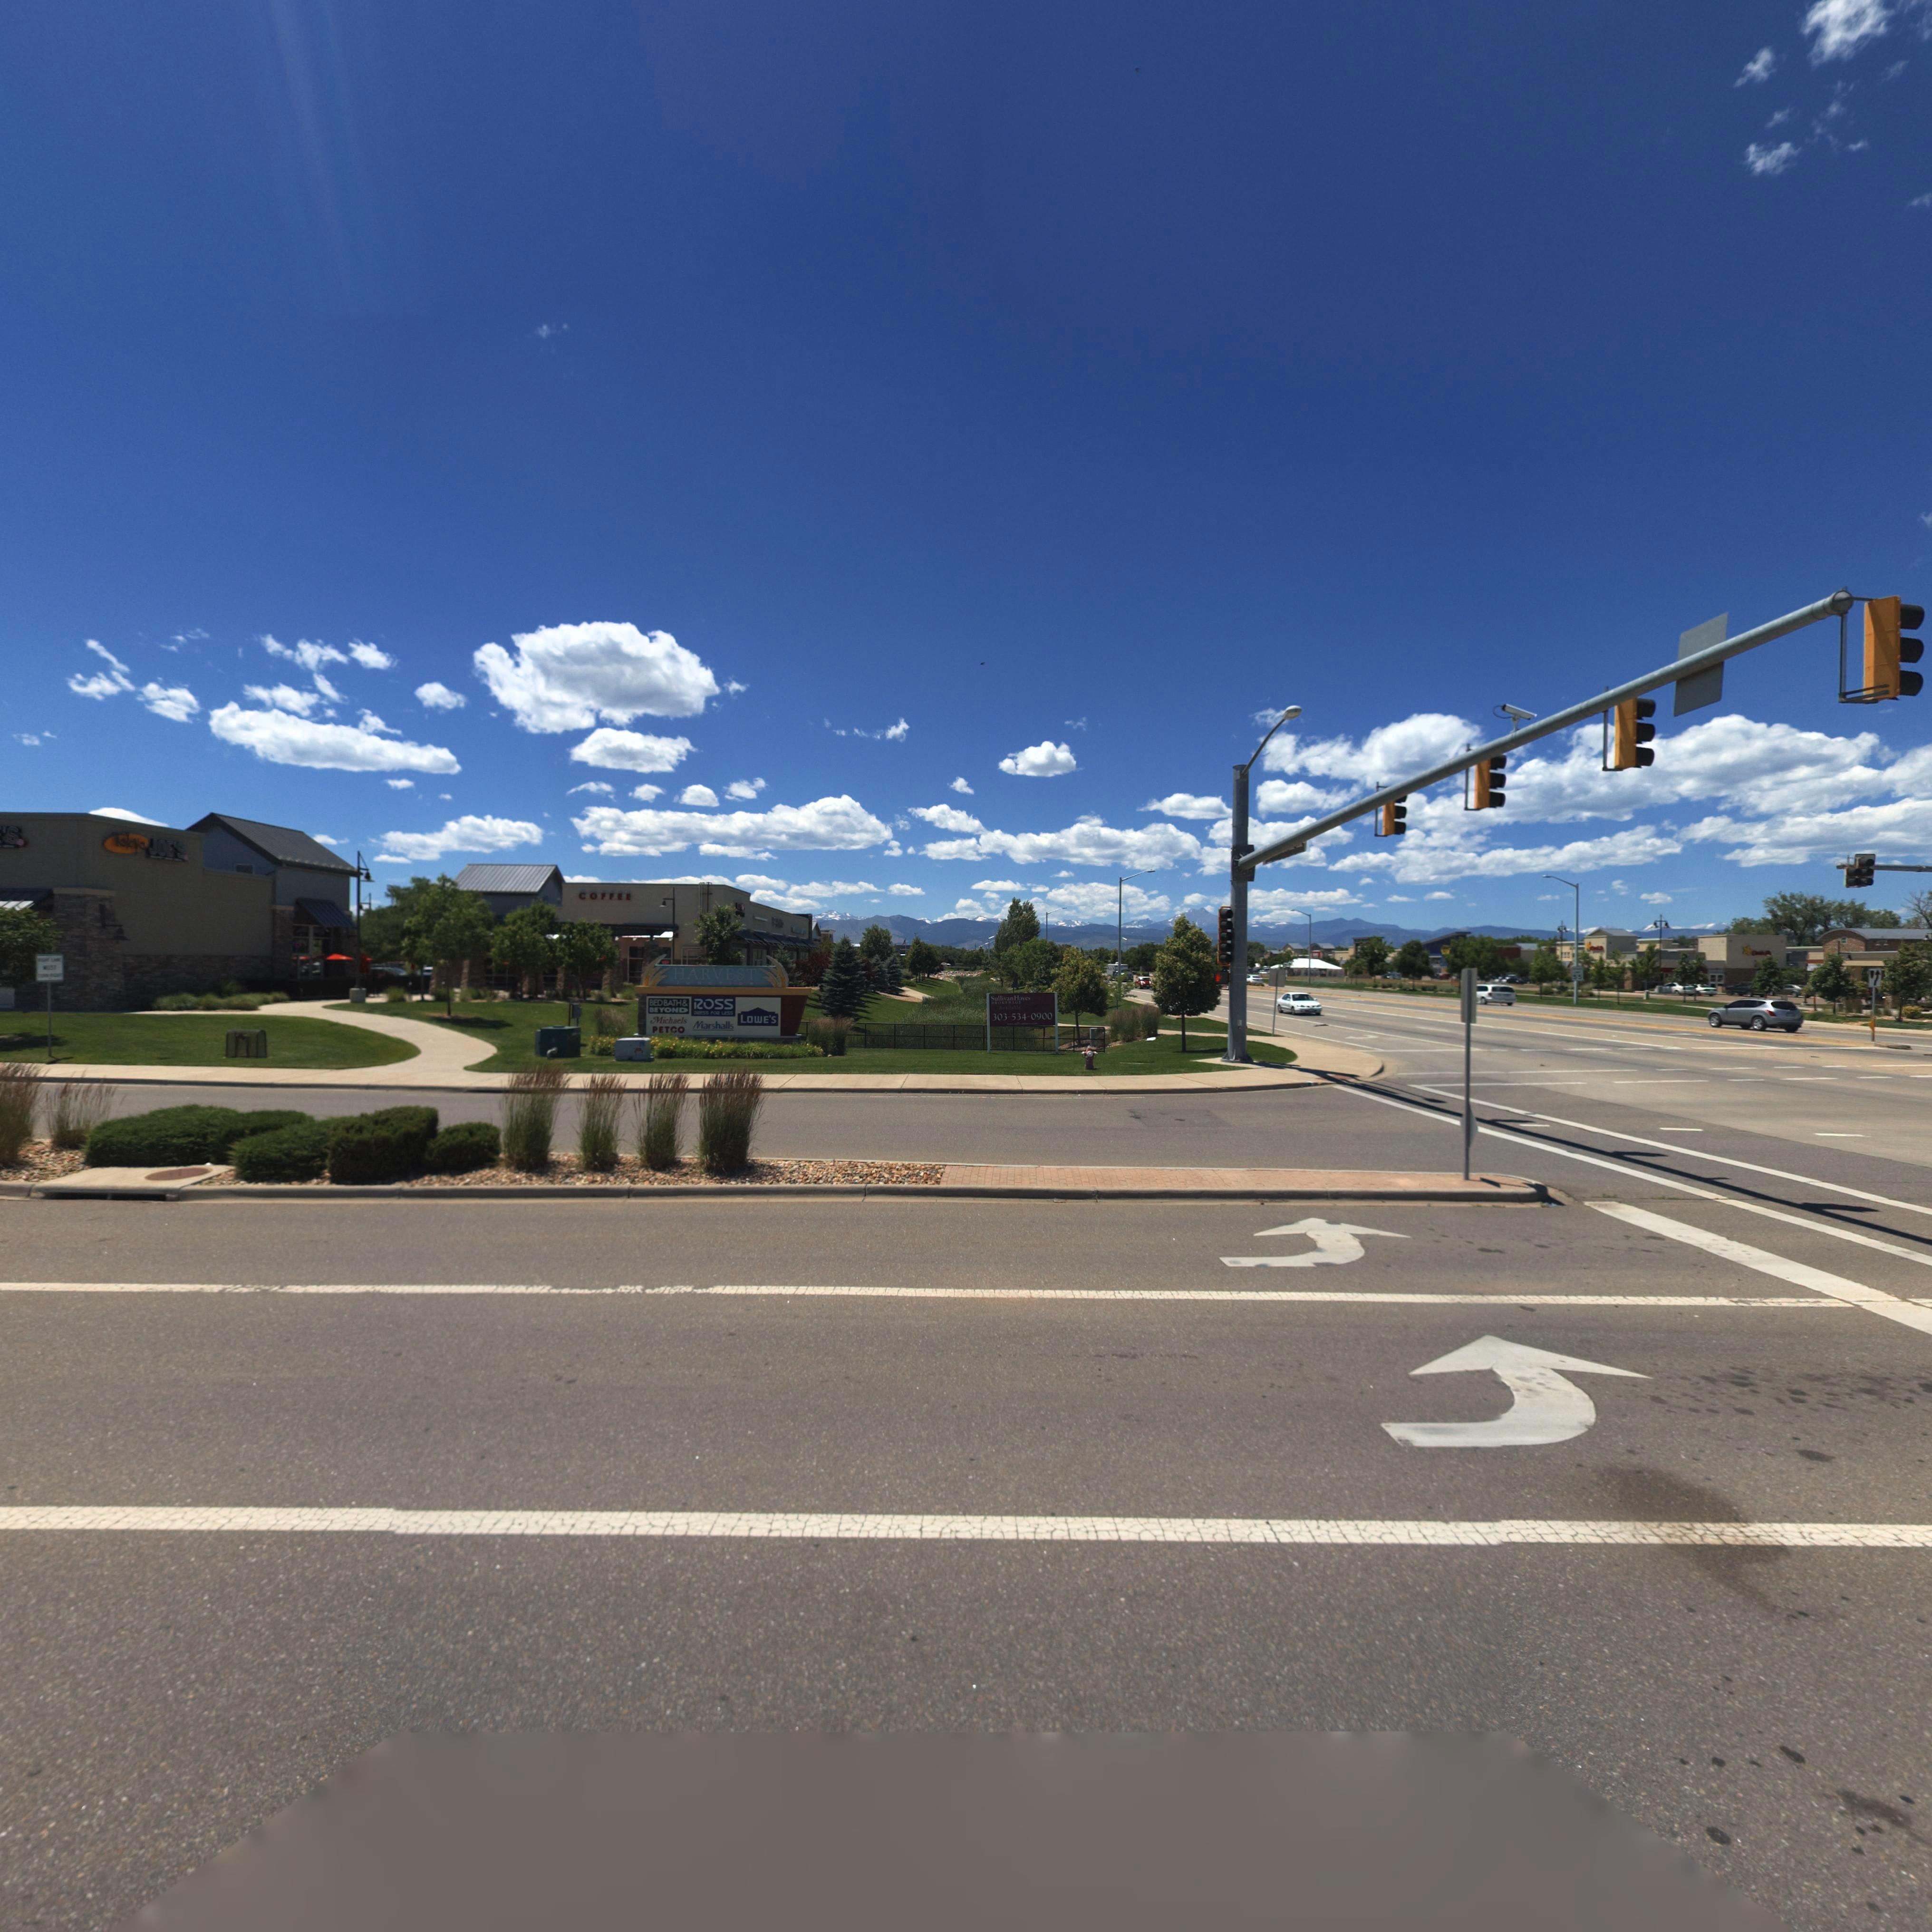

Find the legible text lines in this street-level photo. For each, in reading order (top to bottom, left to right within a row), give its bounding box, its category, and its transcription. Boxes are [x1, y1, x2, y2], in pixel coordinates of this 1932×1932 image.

[1, 825, 19, 845] BusinessName: 'S
[111, 831, 185, 859] BusinessName: Tokyo JOE'S
[1751, 950, 1772, 956] BusinessName: Carl's Jr.
[649, 999, 688, 1006] BusinessName: BEDBATH&
[693, 998, 733, 1010] BusinessName: ROSS
[649, 1007, 688, 1013] BusinessName: BEYOND
[649, 1016, 687, 1024] BusinessName: Michaels
[740, 1014, 776, 1024] BusinessName: LOWE'S
[692, 1021, 734, 1029] BusinessName: Marshalls
[652, 1026, 685, 1034] BusinessName: PETCO